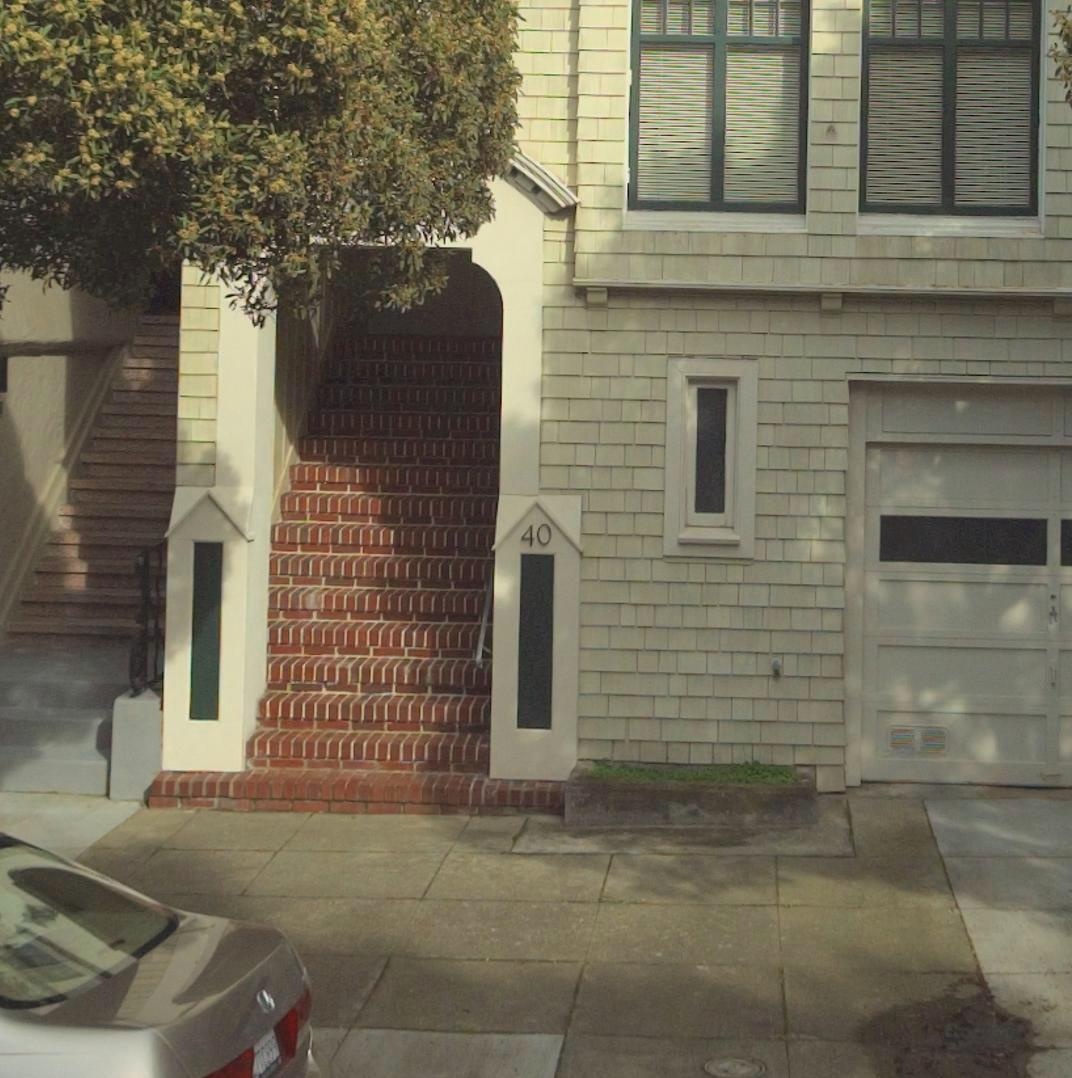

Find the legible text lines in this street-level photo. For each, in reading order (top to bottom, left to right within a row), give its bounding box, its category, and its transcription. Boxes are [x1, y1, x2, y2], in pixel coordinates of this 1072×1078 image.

[520, 523, 552, 548] StreetNumber: 40